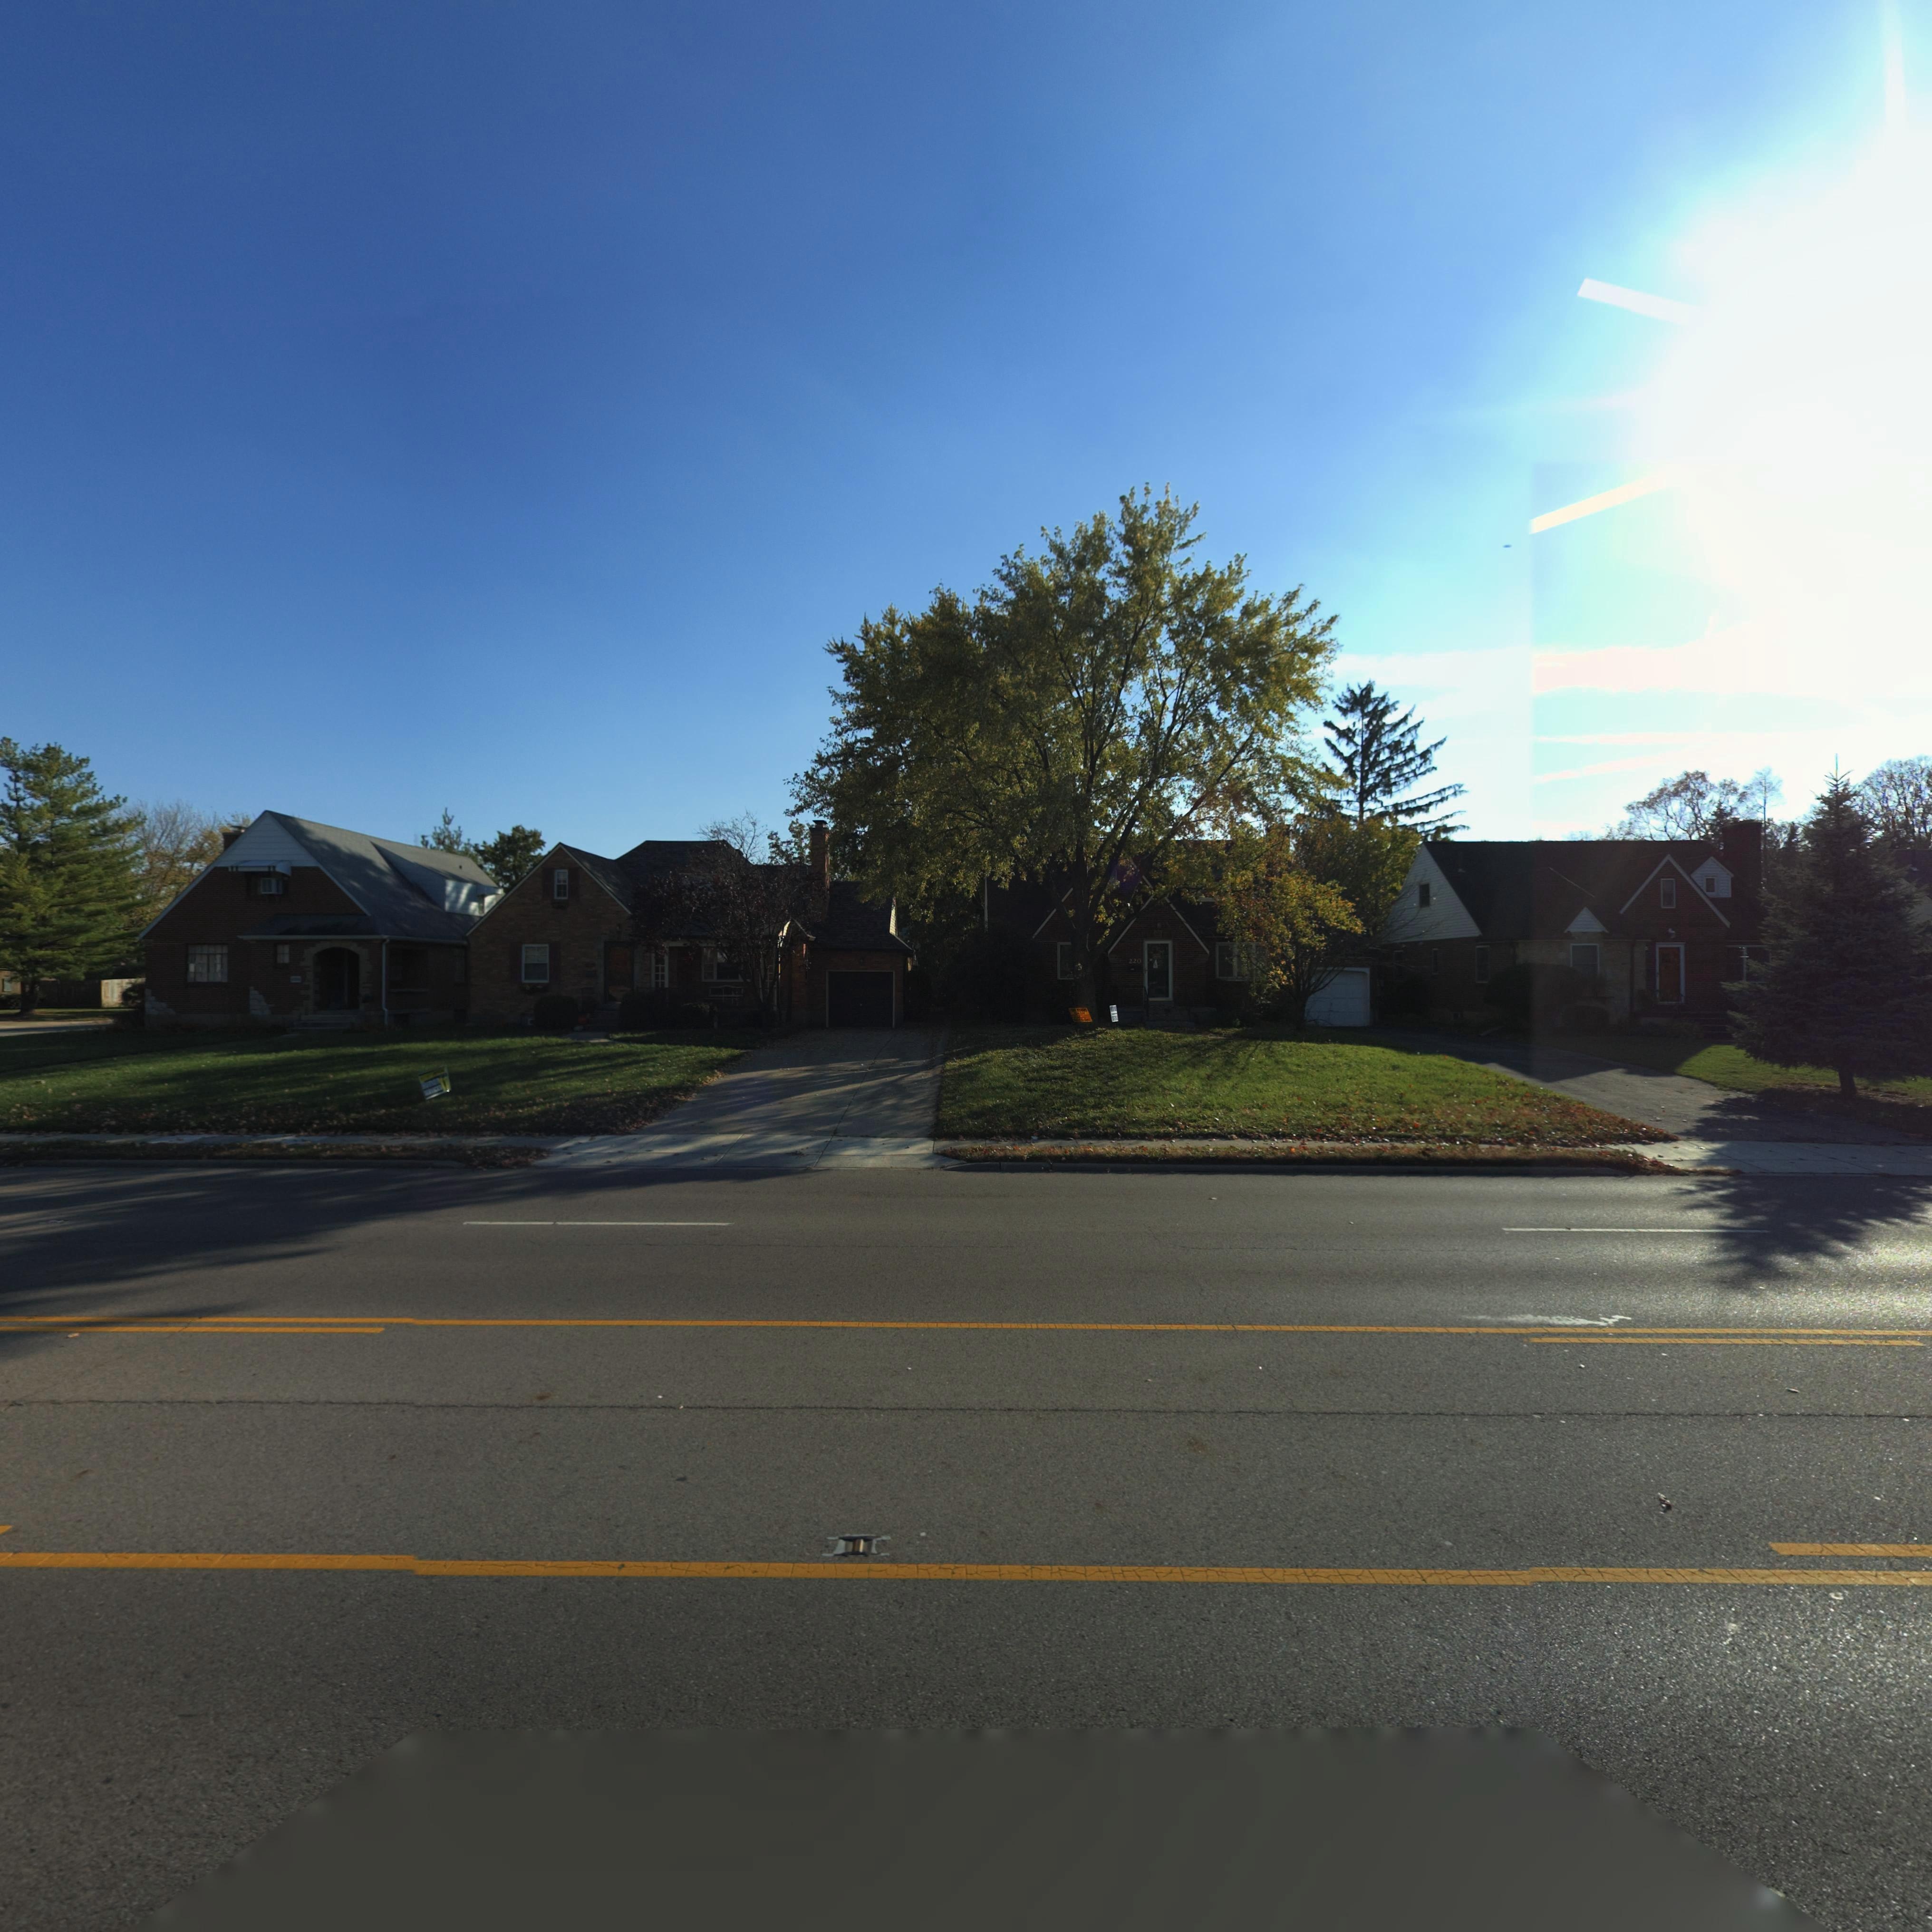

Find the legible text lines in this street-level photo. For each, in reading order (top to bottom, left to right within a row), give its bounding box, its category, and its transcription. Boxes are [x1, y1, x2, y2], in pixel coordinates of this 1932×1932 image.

[1128, 957, 1142, 965] StreetNumber: 220